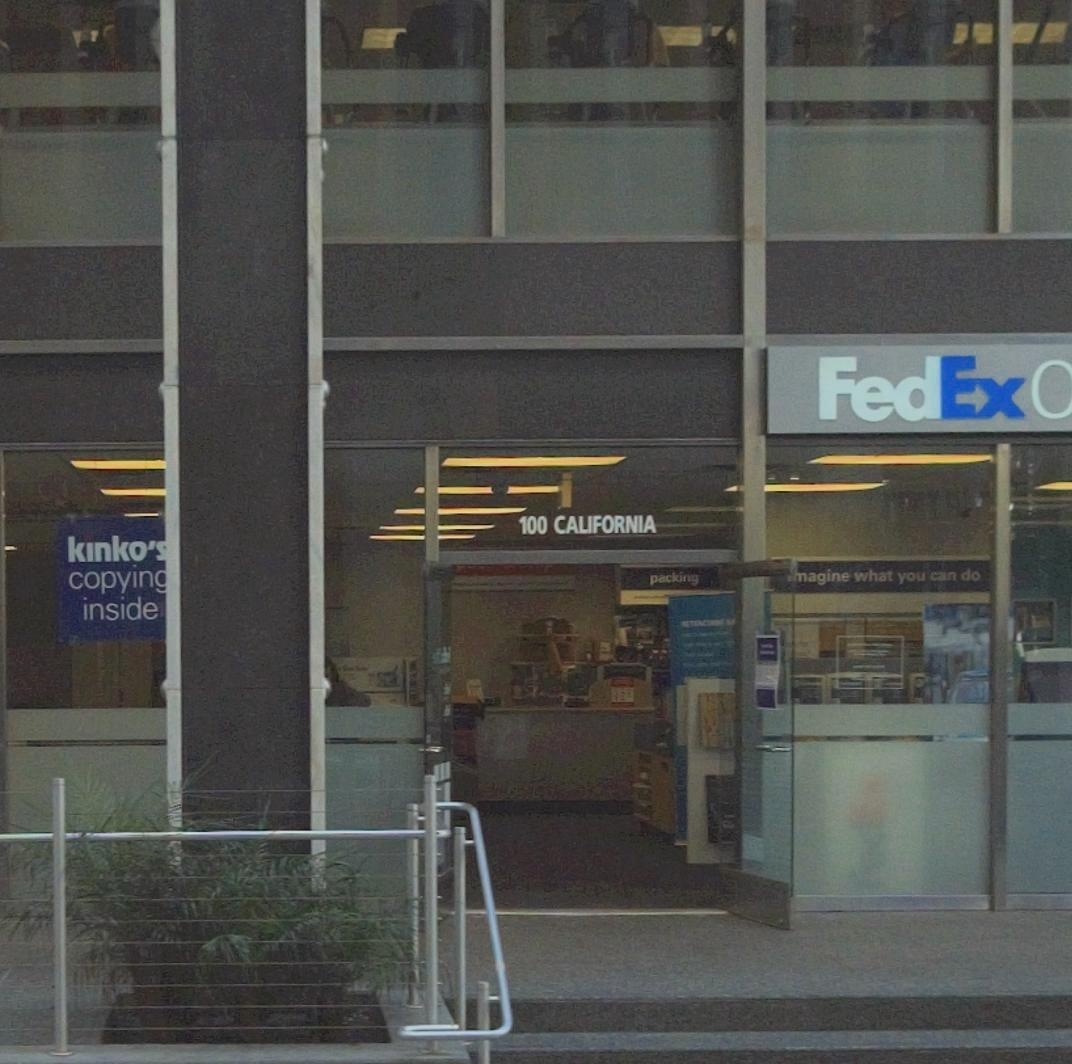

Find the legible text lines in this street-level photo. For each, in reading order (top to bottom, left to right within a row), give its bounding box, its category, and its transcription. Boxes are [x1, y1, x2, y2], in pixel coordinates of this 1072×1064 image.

[816, 355, 1028, 422] BusinessName: FedEx
[517, 515, 549, 537] StreetNumber: 100
[552, 513, 659, 536] StreetName: CALIFORNIA
[67, 534, 149, 564] BusinessName: kinko
[67, 563, 155, 596] None: copyin
[649, 571, 700, 588] None: packing
[793, 567, 983, 586] None: magine what you can do
[82, 594, 160, 622] None: inside